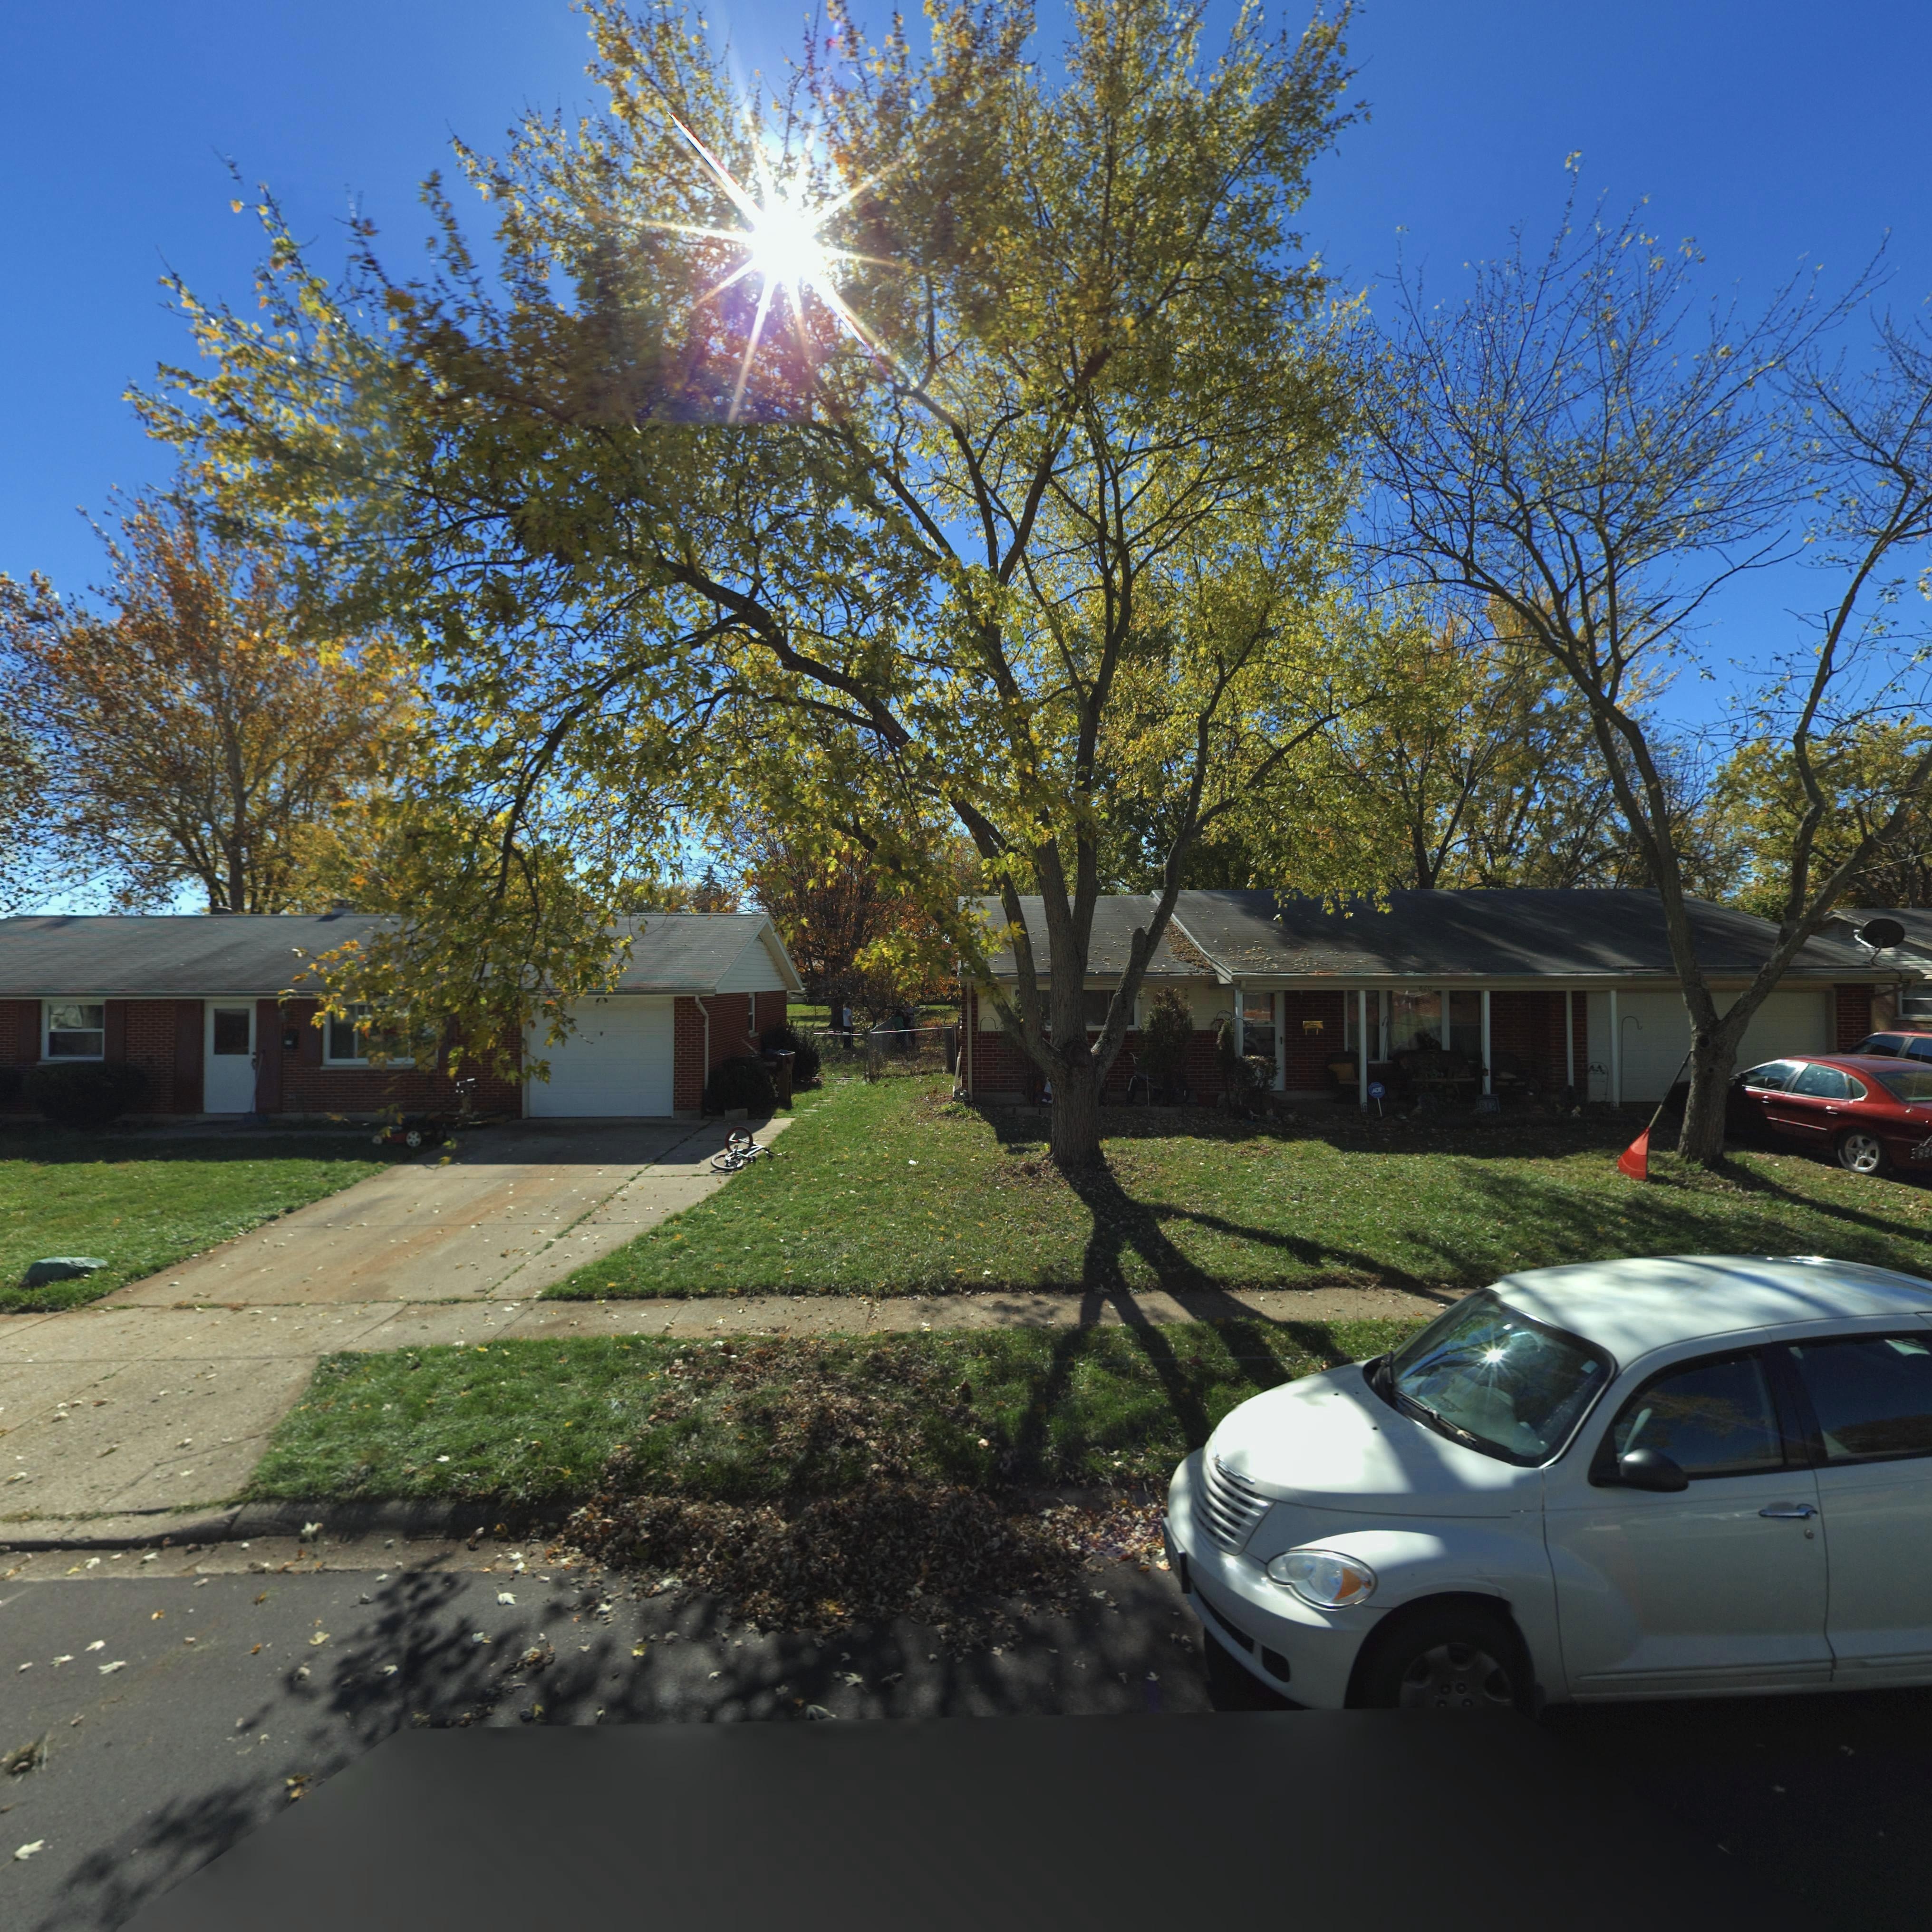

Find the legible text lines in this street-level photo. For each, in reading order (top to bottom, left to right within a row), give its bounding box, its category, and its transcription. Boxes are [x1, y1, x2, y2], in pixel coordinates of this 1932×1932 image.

[1418, 985, 1433, 991] StreetNumber: 820
[1918, 1146, 1931, 1159] StreetNumber: 82